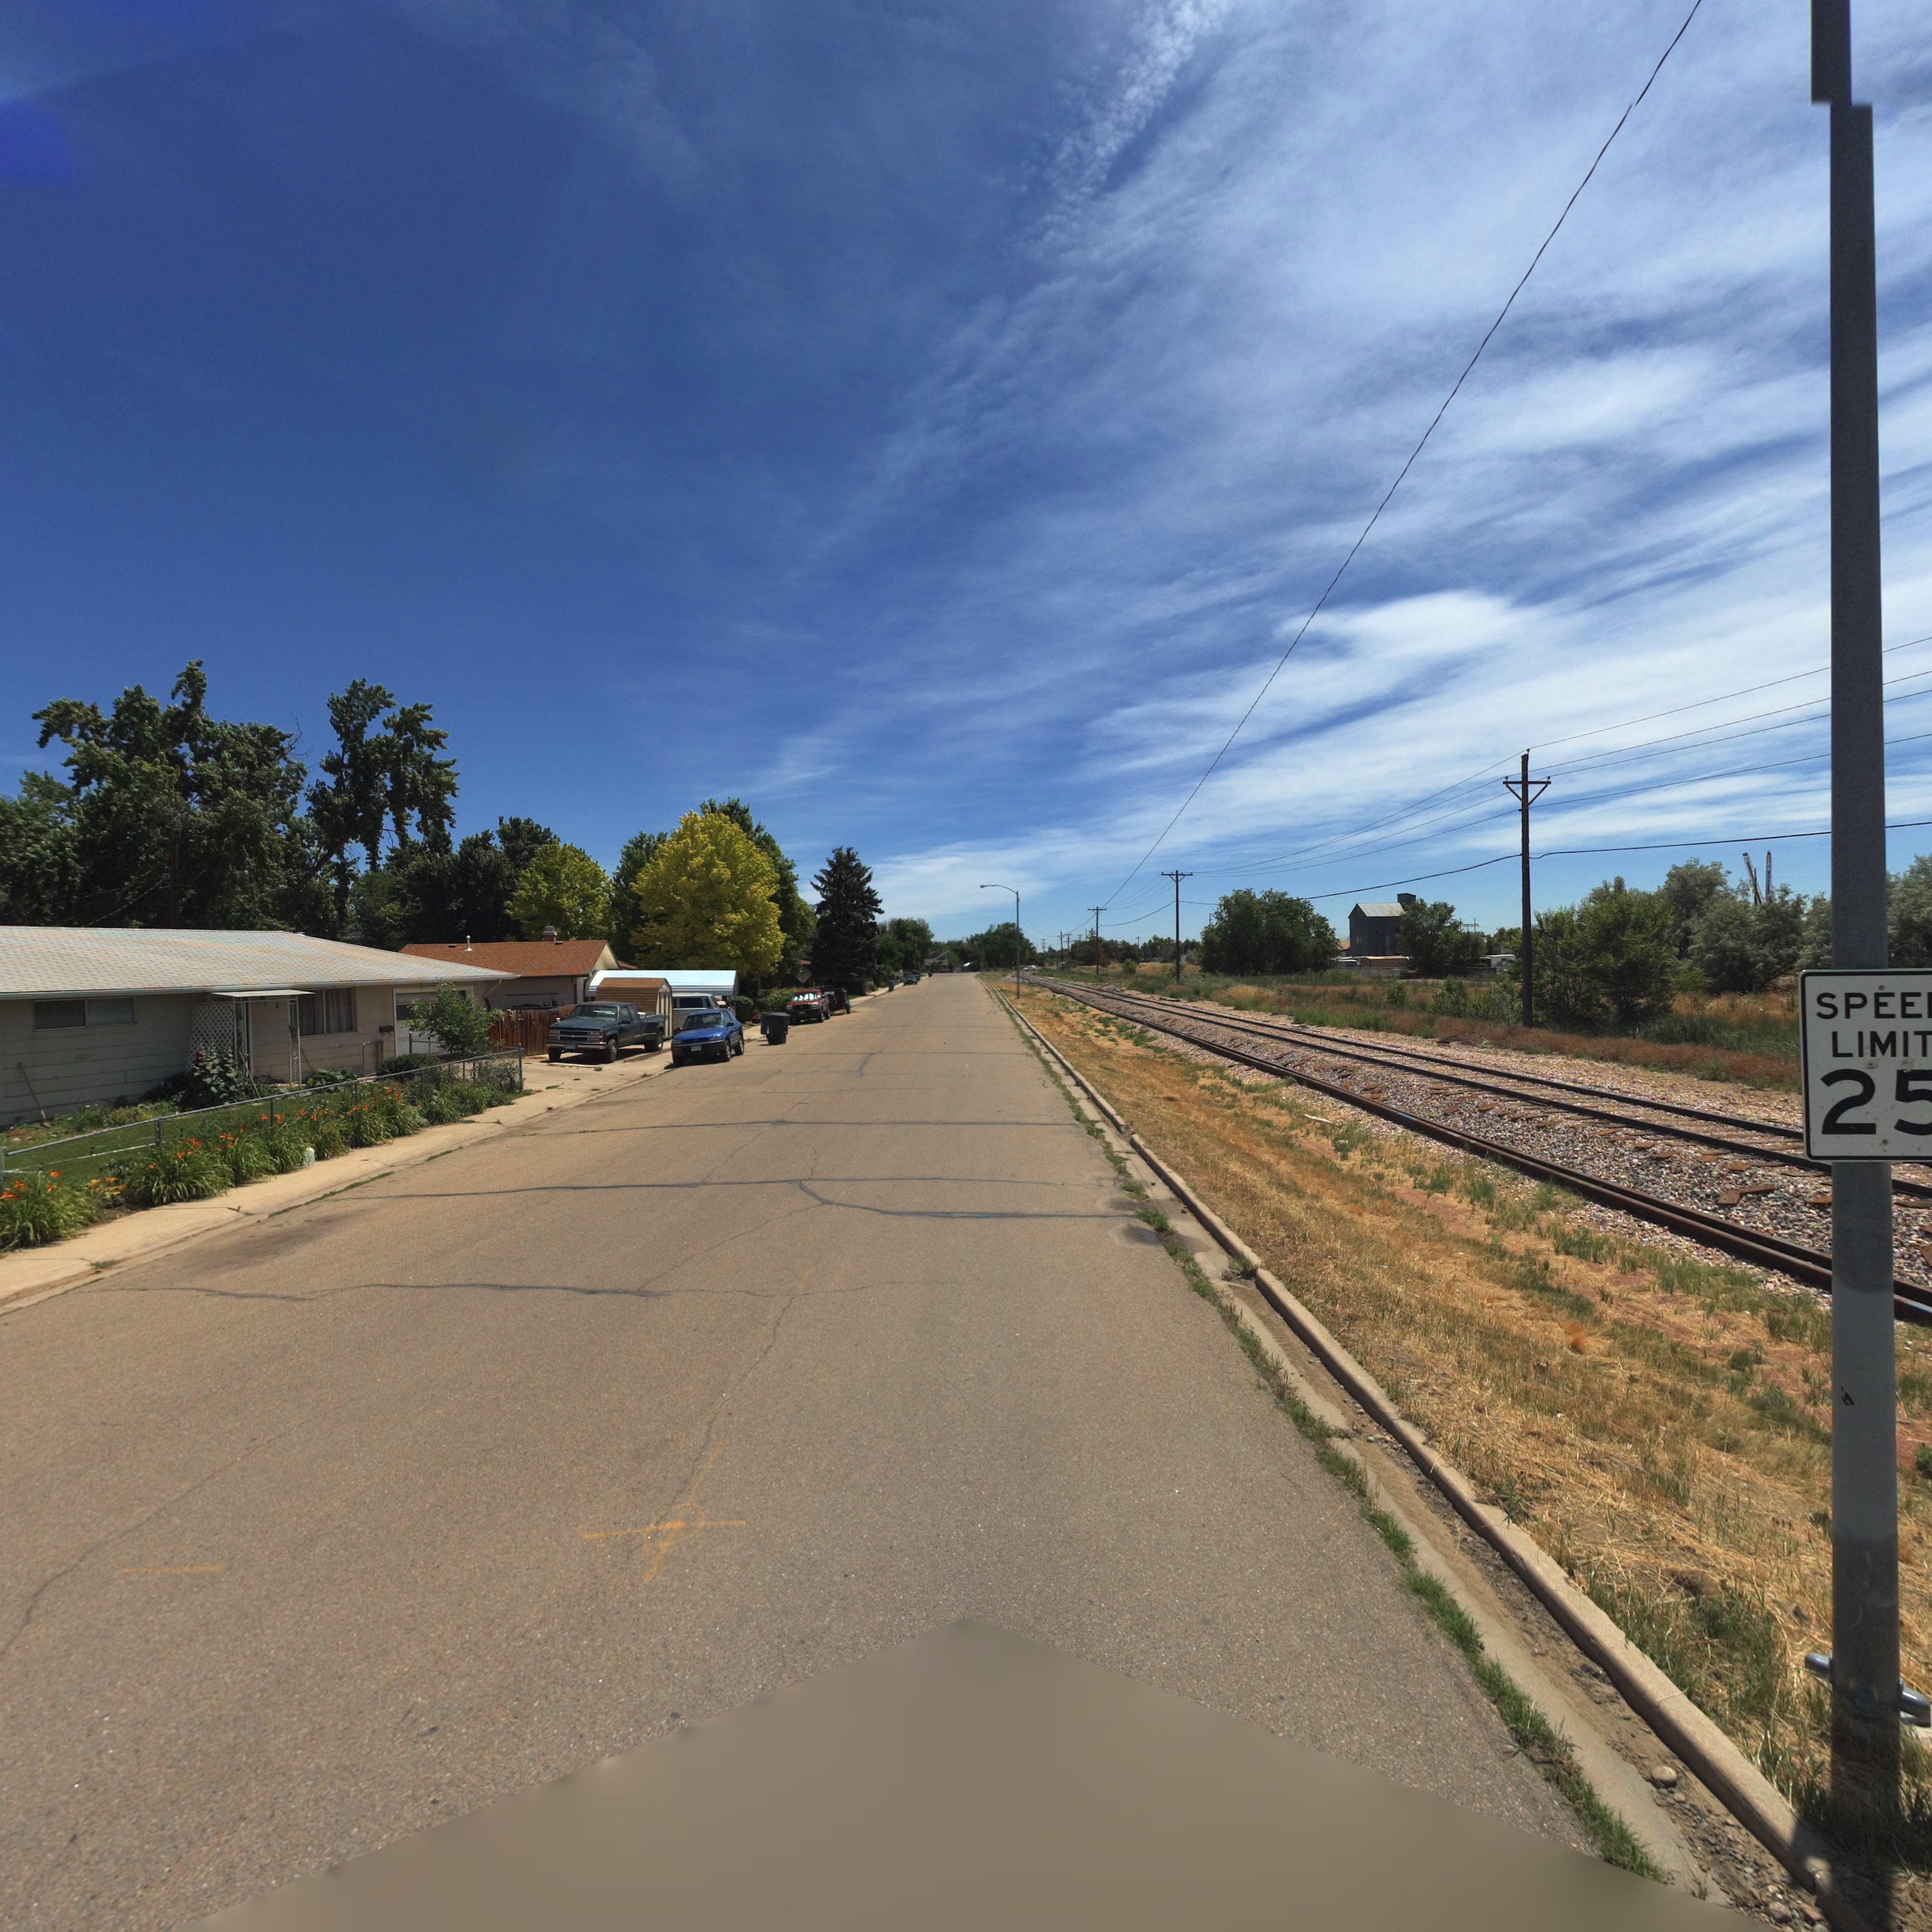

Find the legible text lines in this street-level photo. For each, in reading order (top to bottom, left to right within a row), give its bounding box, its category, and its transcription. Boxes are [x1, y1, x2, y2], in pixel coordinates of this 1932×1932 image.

[263, 1001, 279, 1009] StreetNumber: 12